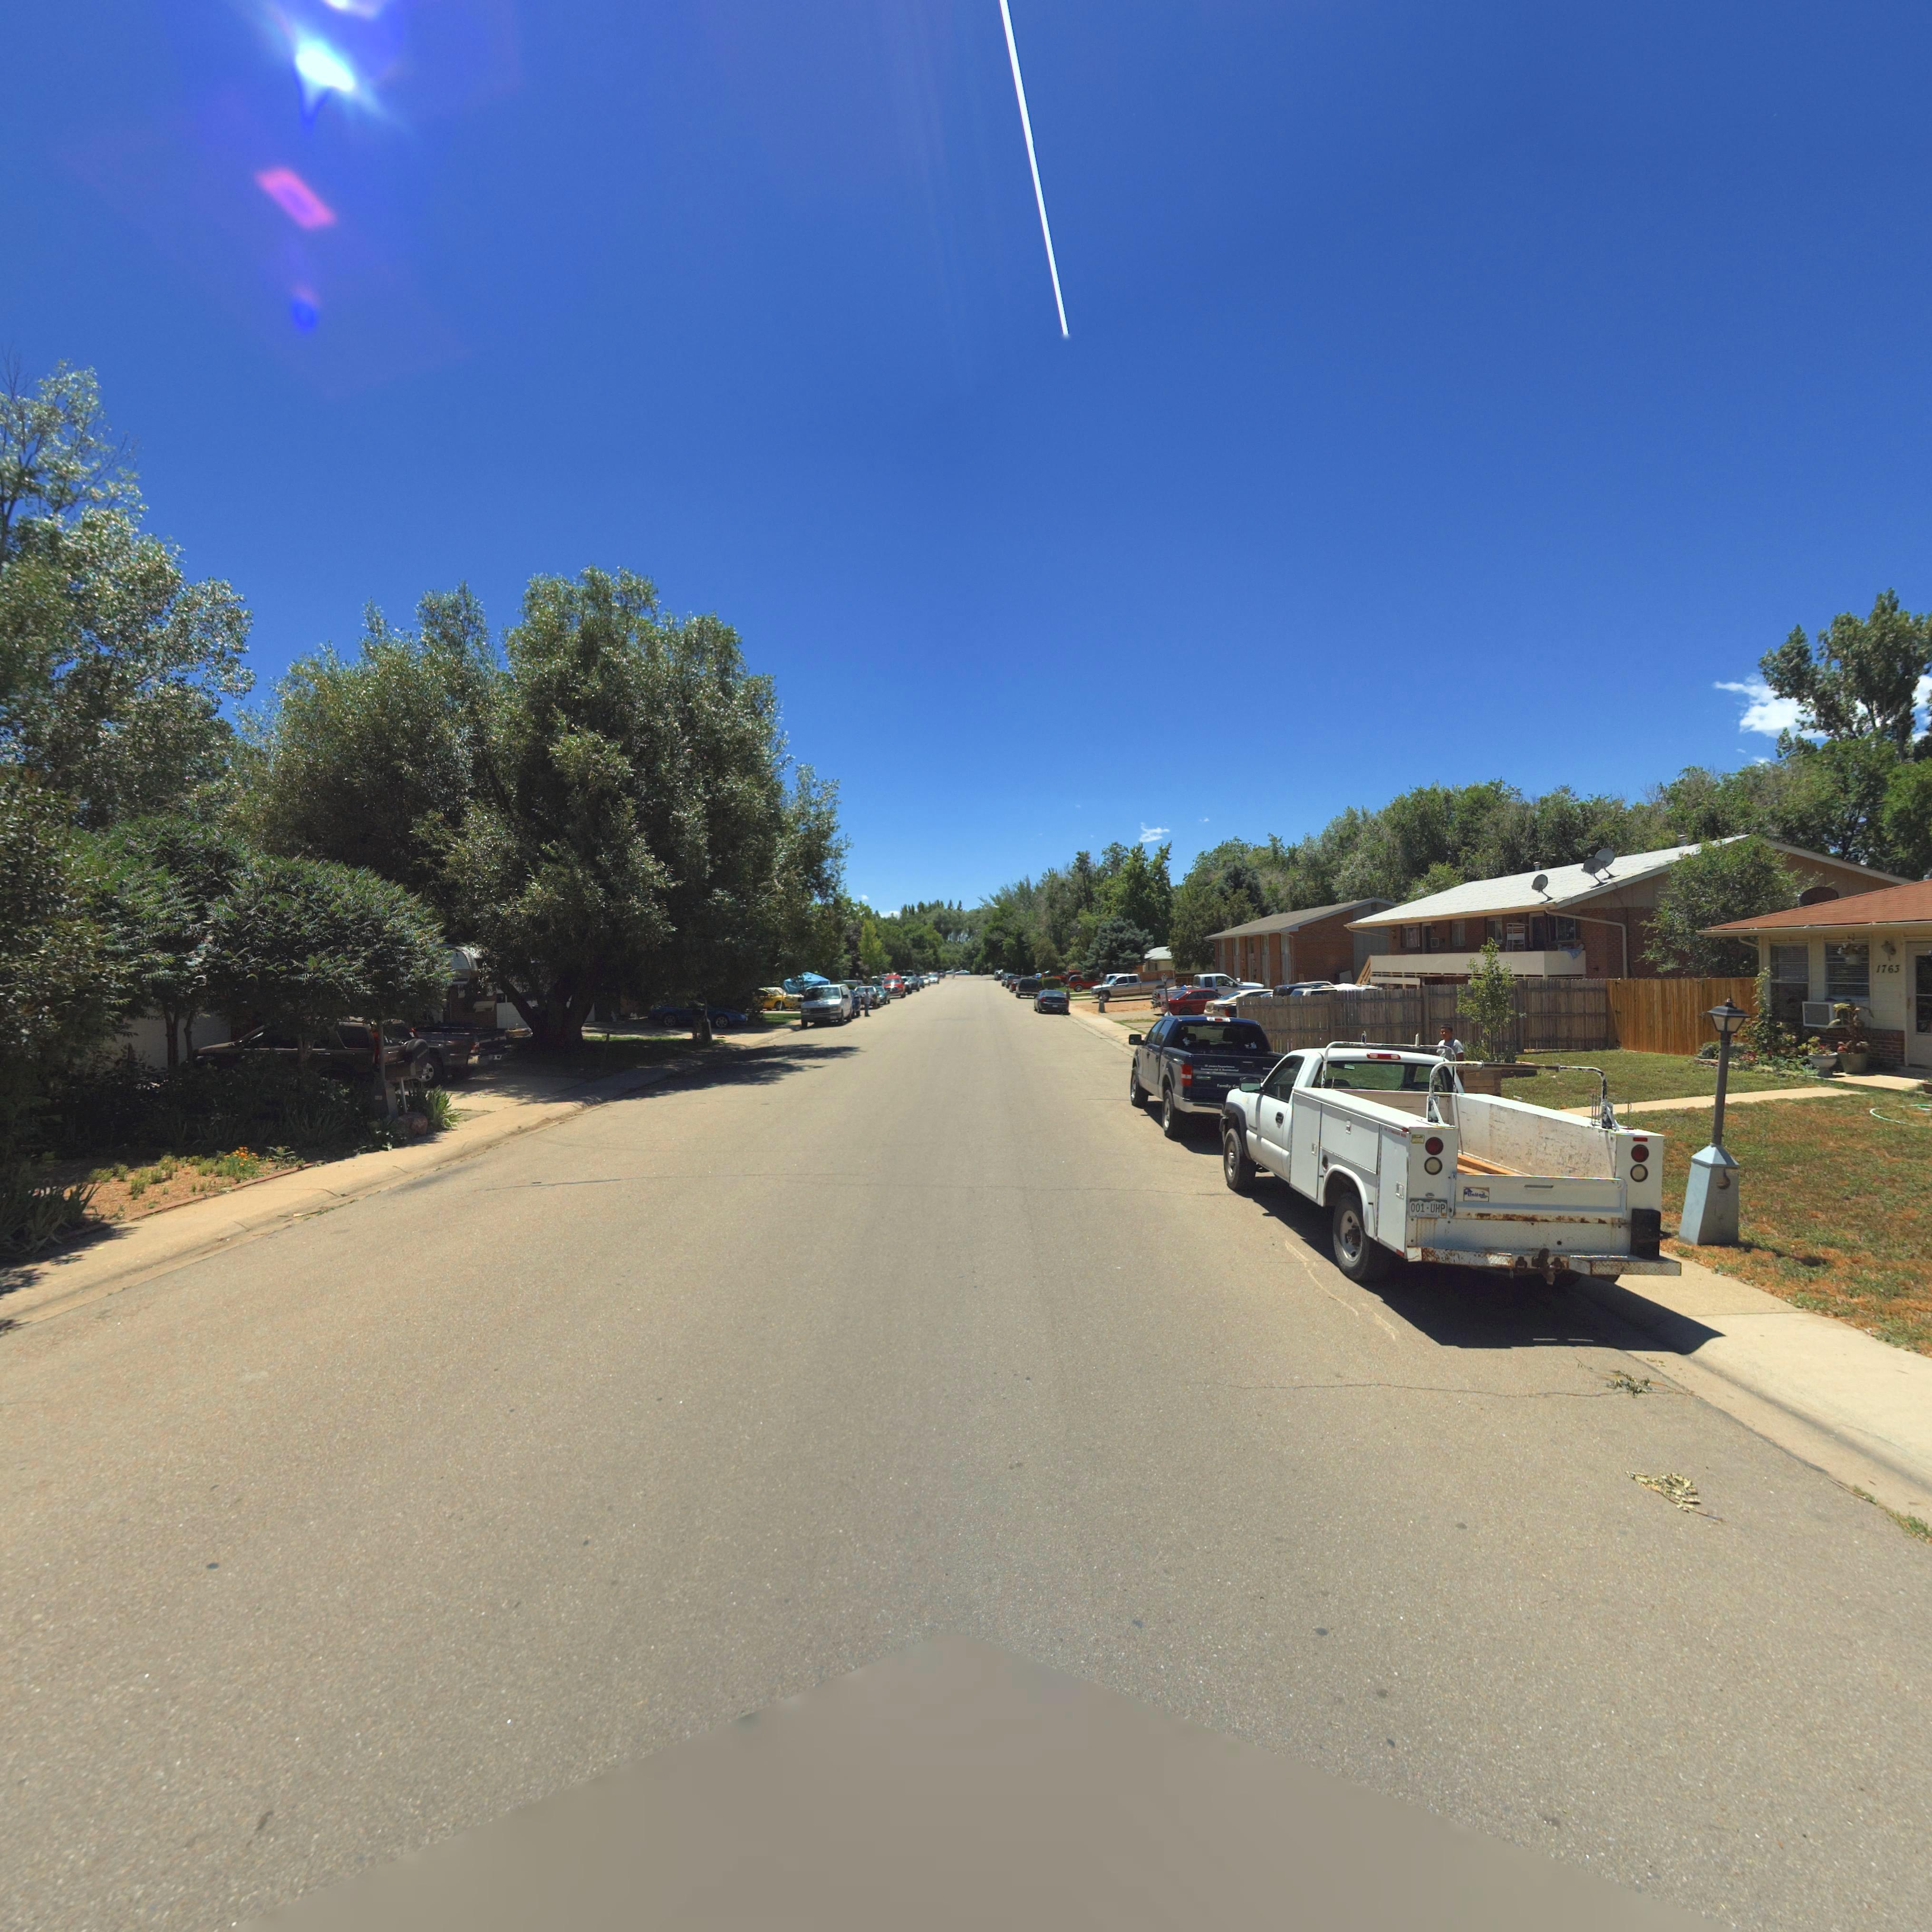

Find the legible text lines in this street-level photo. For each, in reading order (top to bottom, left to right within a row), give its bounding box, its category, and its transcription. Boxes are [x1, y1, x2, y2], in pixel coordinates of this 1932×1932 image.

[1876, 964, 1900, 974] StreetNumber: 1763